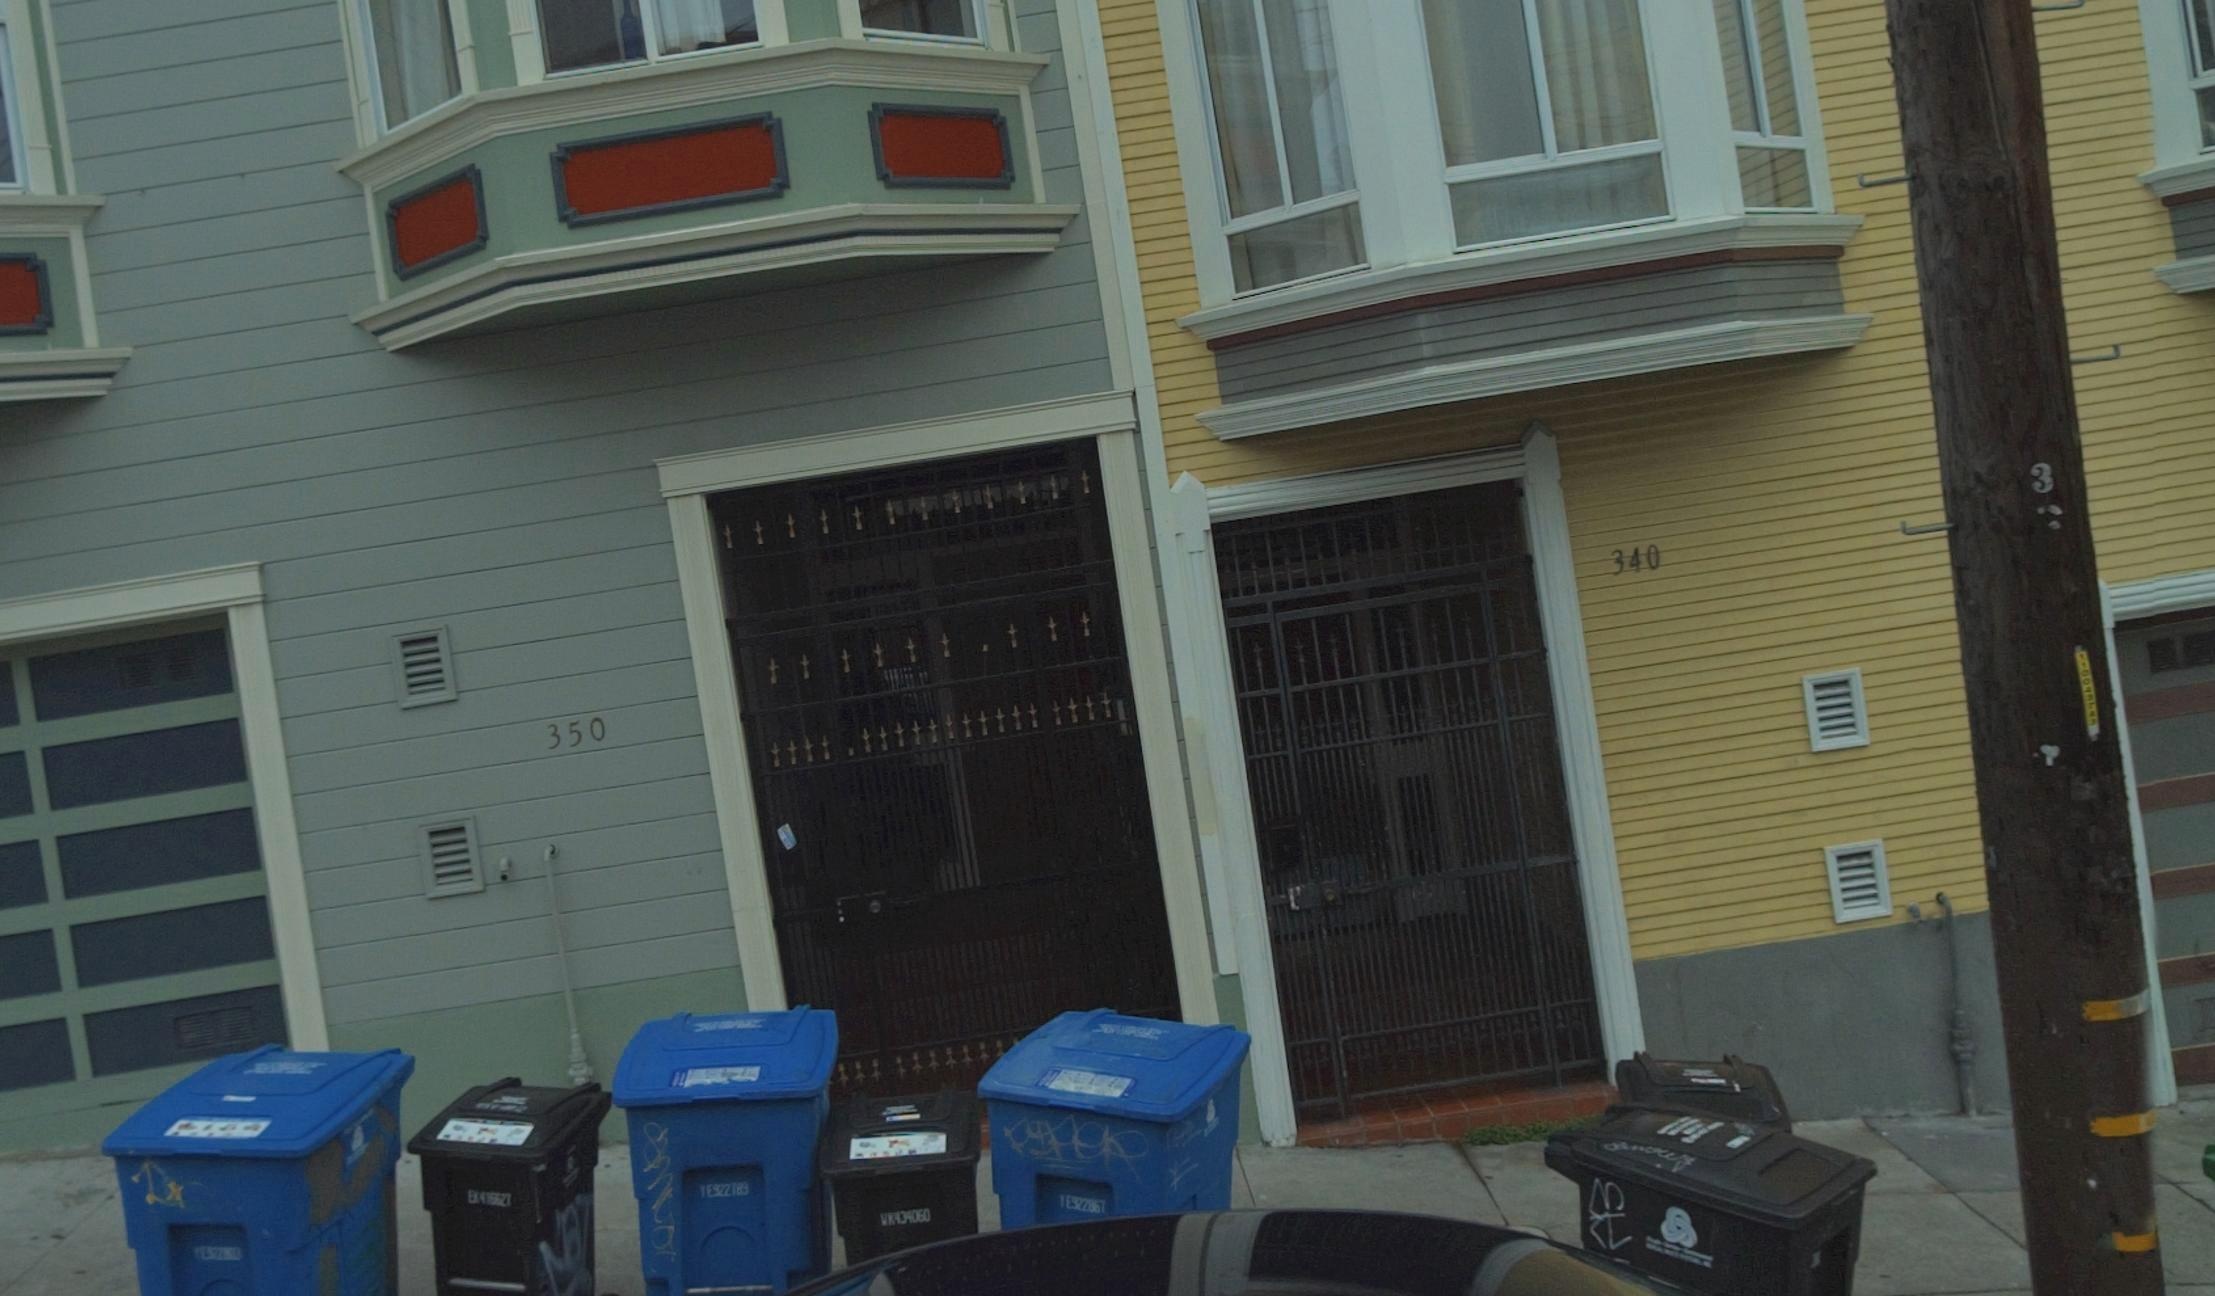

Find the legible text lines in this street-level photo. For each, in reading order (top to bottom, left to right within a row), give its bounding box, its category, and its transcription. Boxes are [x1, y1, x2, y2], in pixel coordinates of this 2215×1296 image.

[2026, 458, 2058, 499] None: 3
[1607, 540, 1663, 579] StreetNumber: 340
[2076, 650, 2099, 729] None: 1100437*3
[542, 713, 610, 753] StreetNumber: 350
[696, 1178, 754, 1201] None: *E922189
[877, 1205, 934, 1229] None: WK434060
[1056, 1190, 1109, 1217] None: *E922867